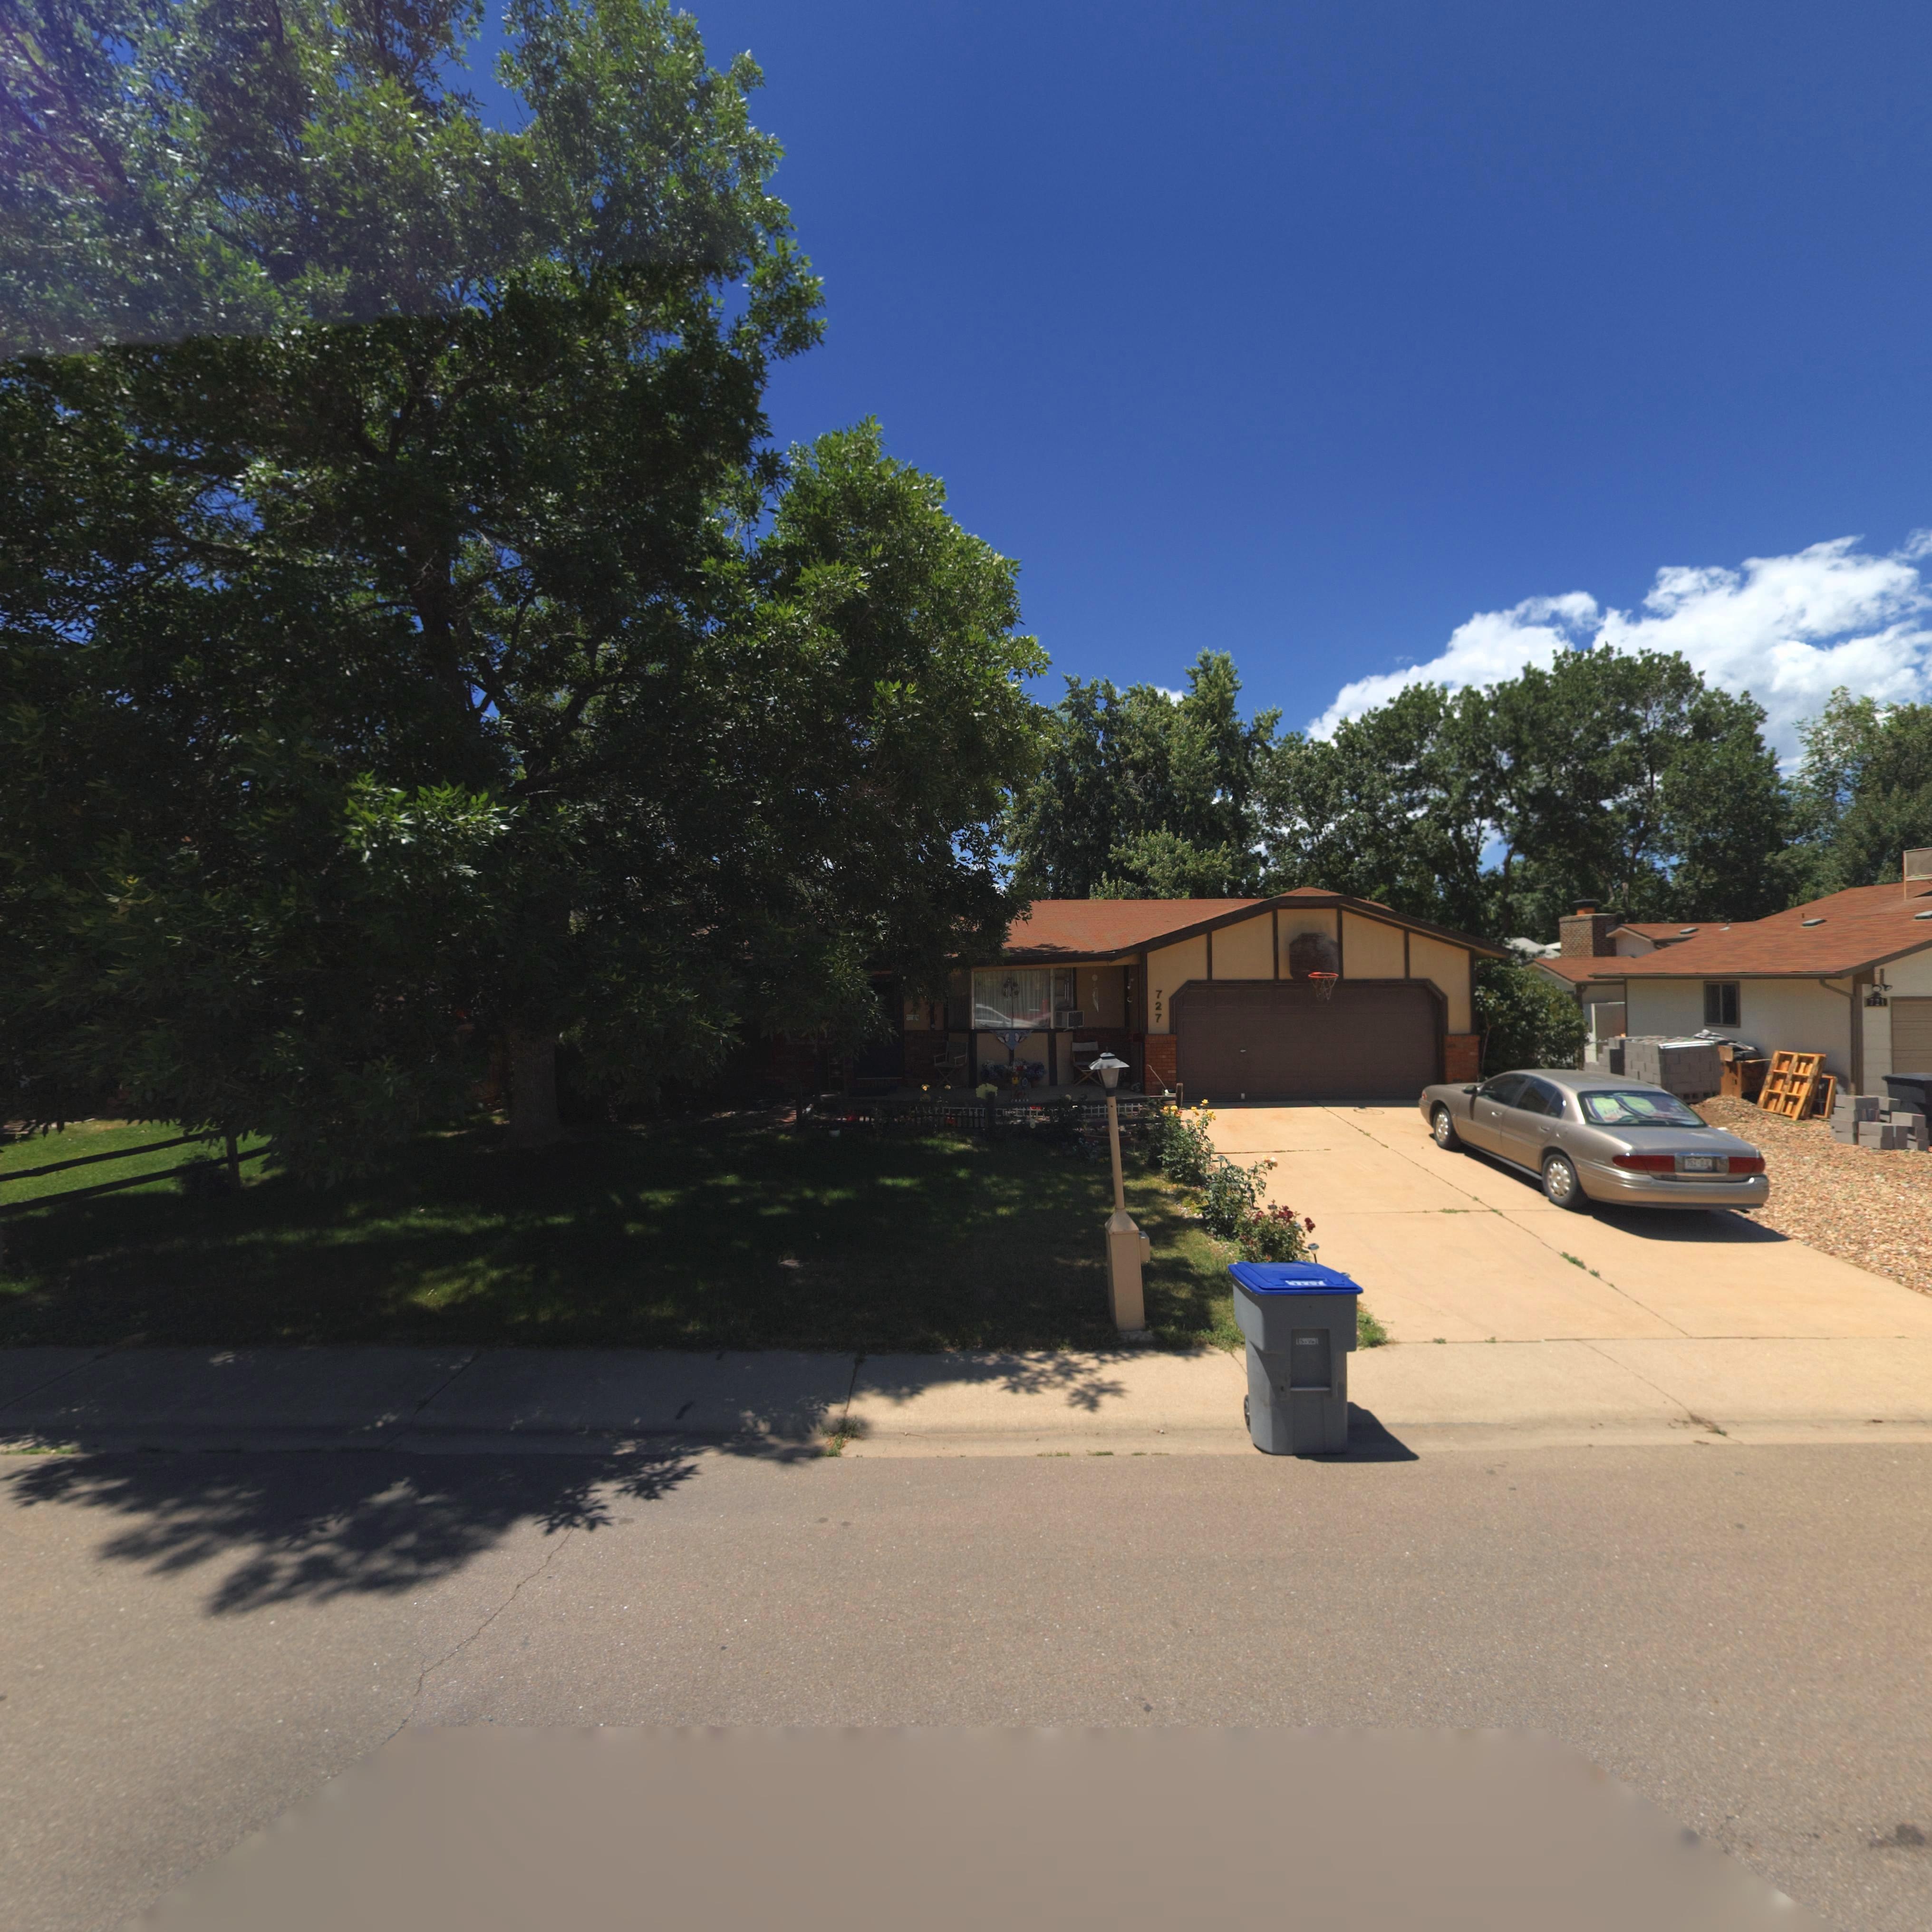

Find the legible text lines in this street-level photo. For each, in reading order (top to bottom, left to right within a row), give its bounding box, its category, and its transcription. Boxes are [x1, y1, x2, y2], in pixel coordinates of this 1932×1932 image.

[1155, 989, 1162, 1023] StreetNumber: 727